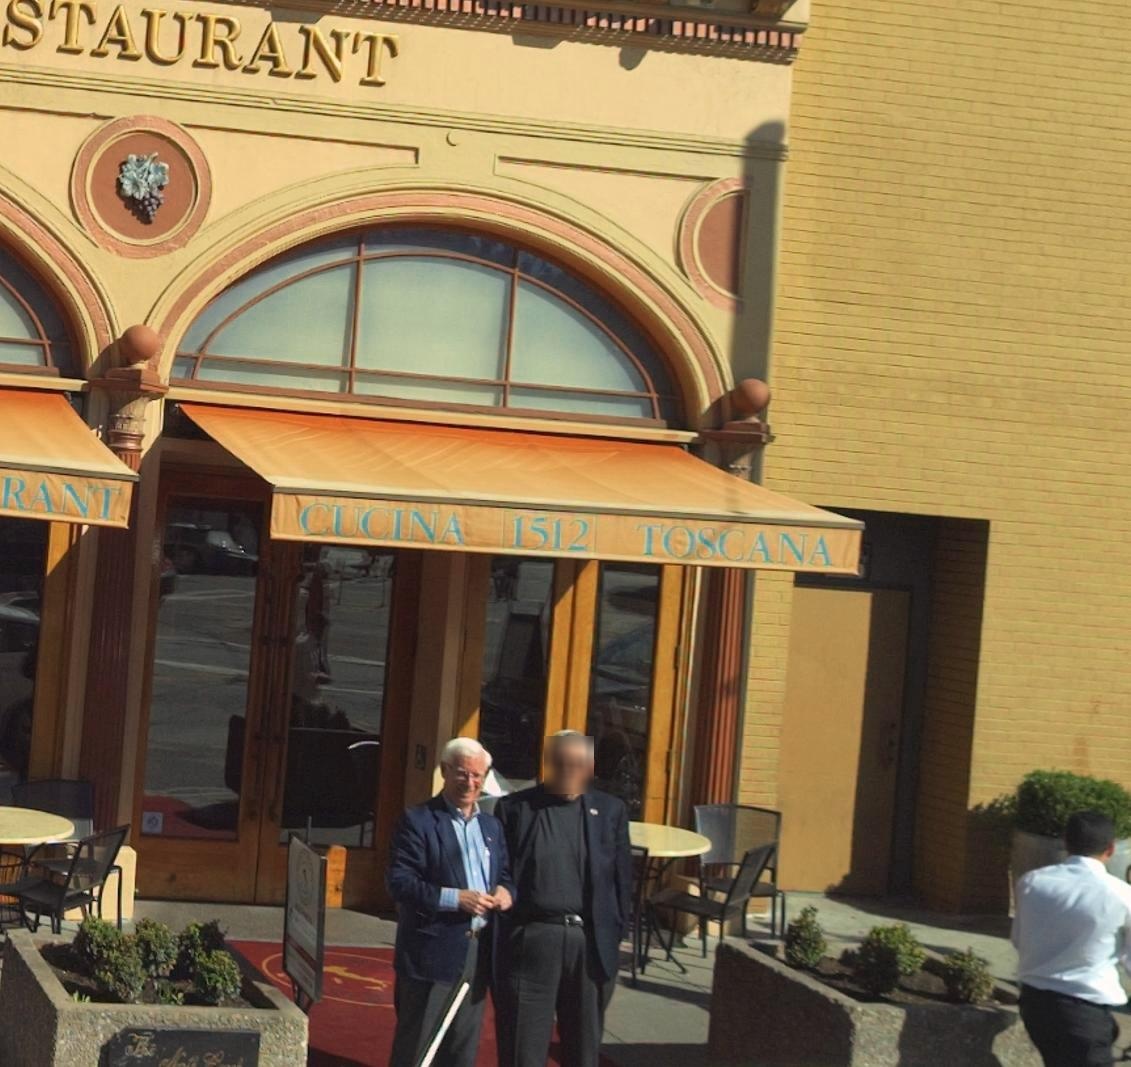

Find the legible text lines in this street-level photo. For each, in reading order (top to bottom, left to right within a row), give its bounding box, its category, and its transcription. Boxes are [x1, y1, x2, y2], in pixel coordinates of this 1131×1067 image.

[87, 1, 402, 88] None: AUTRANT
[0, 474, 125, 520] None: RANT
[298, 500, 468, 546] BusinessName: CUCINA
[507, 512, 590, 554] StreetNumber: 512
[634, 520, 837, 568] BusinessName: TOSCANA